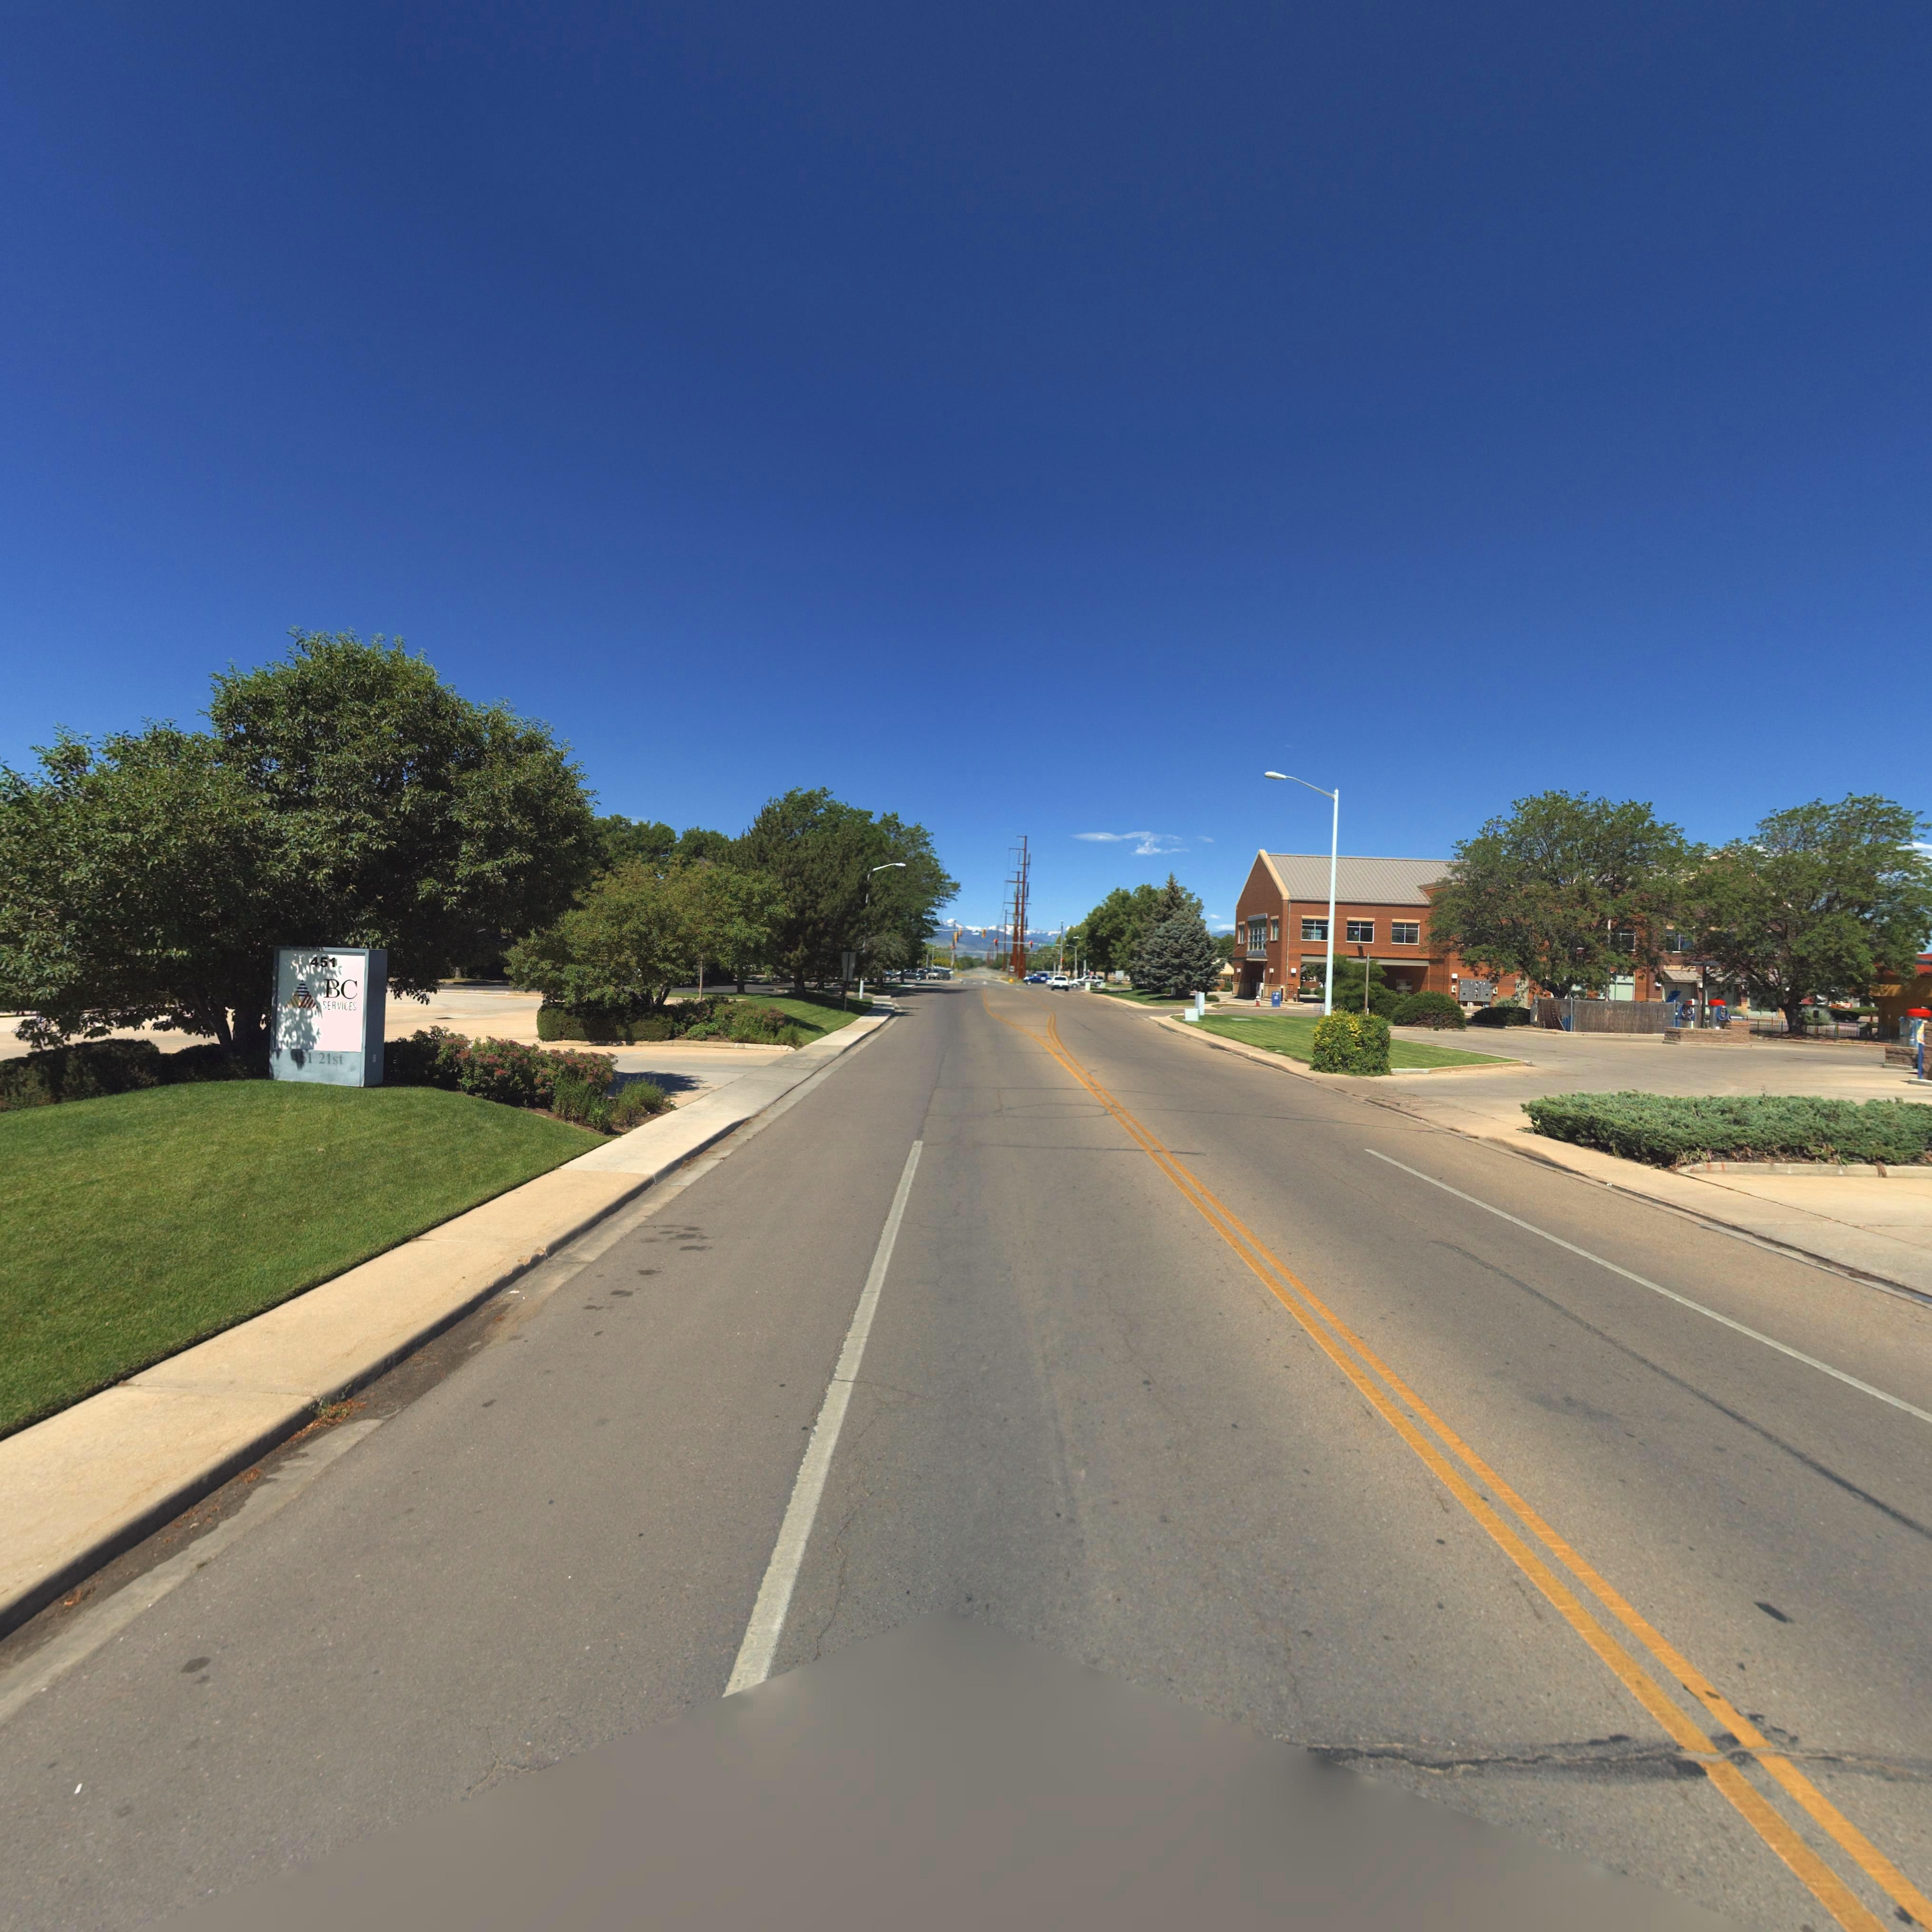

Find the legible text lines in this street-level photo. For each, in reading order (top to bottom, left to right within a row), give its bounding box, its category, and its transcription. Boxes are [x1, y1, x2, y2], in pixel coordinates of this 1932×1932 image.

[311, 957, 335, 967] StreetNumber: 451